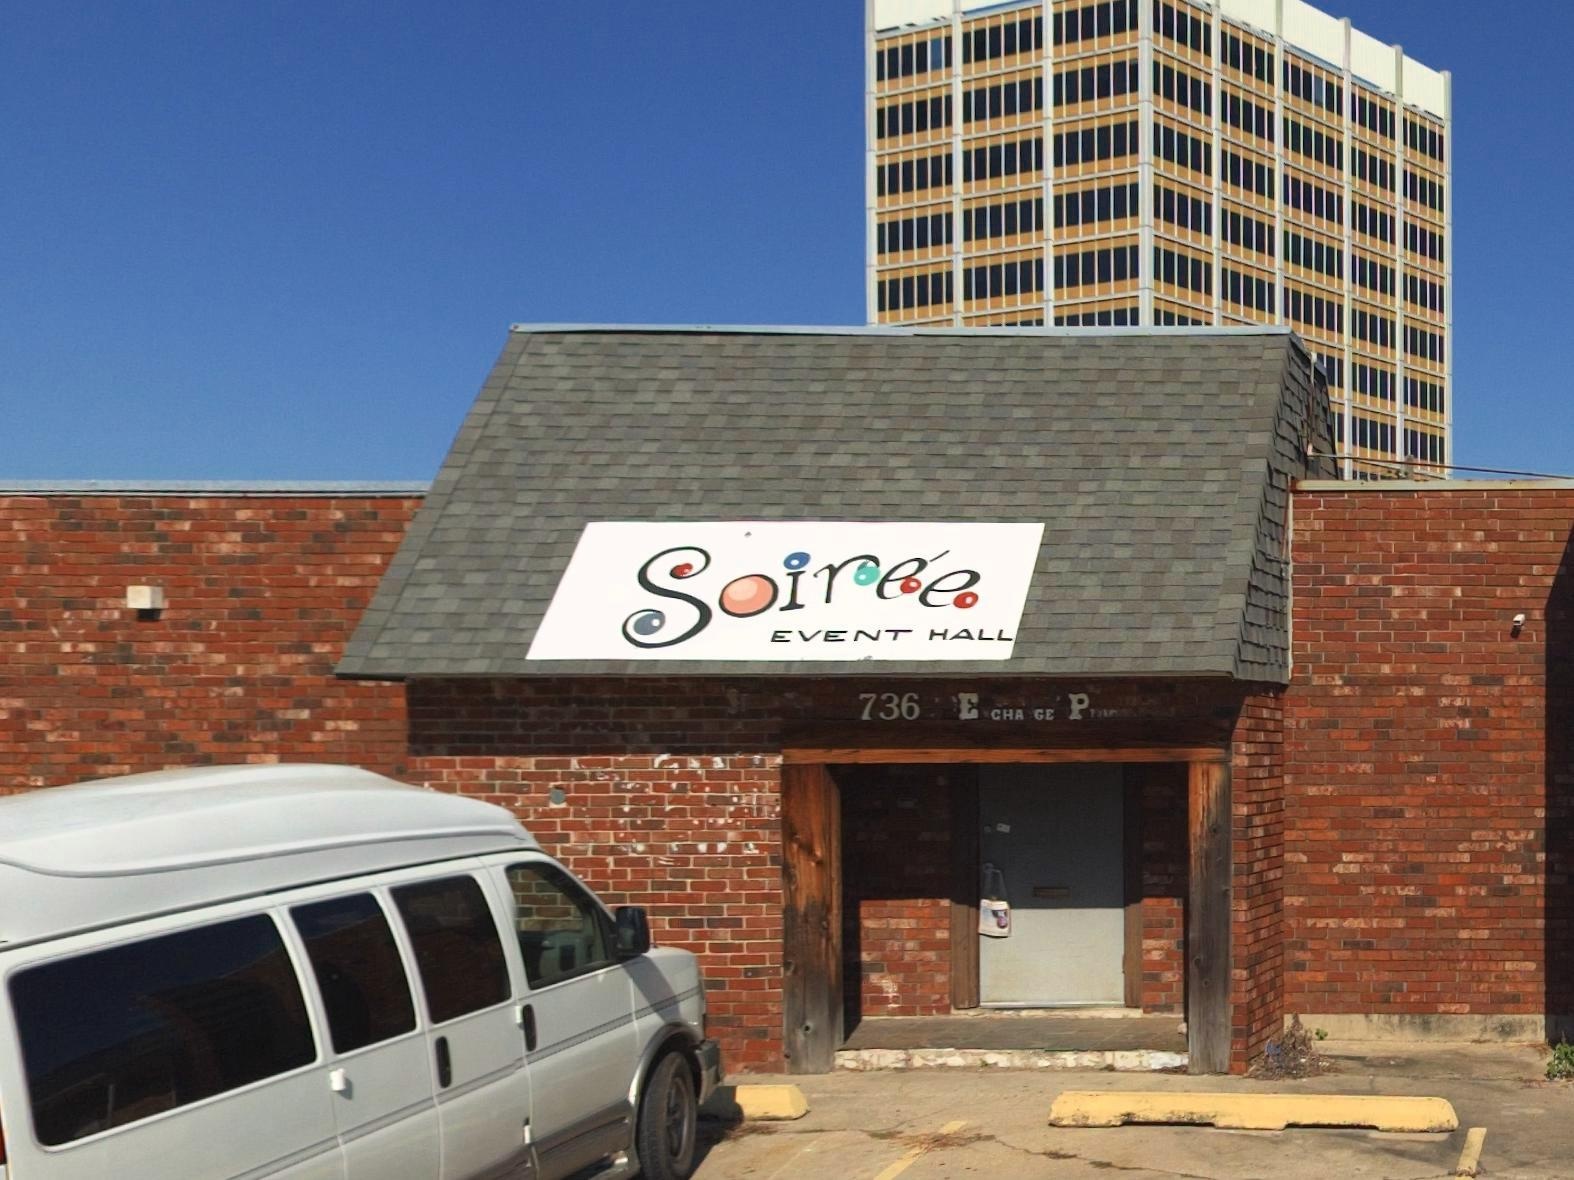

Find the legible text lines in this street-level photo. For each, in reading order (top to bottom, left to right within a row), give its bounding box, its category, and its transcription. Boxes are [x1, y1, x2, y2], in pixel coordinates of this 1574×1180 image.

[614, 541, 987, 655] BusinessName: Soiree
[765, 626, 1016, 646] BusinessName: EVENT HALL
[855, 688, 926, 725] StreetNumber: 736
[955, 690, 1093, 723] StreetName: E*CHA*GE P